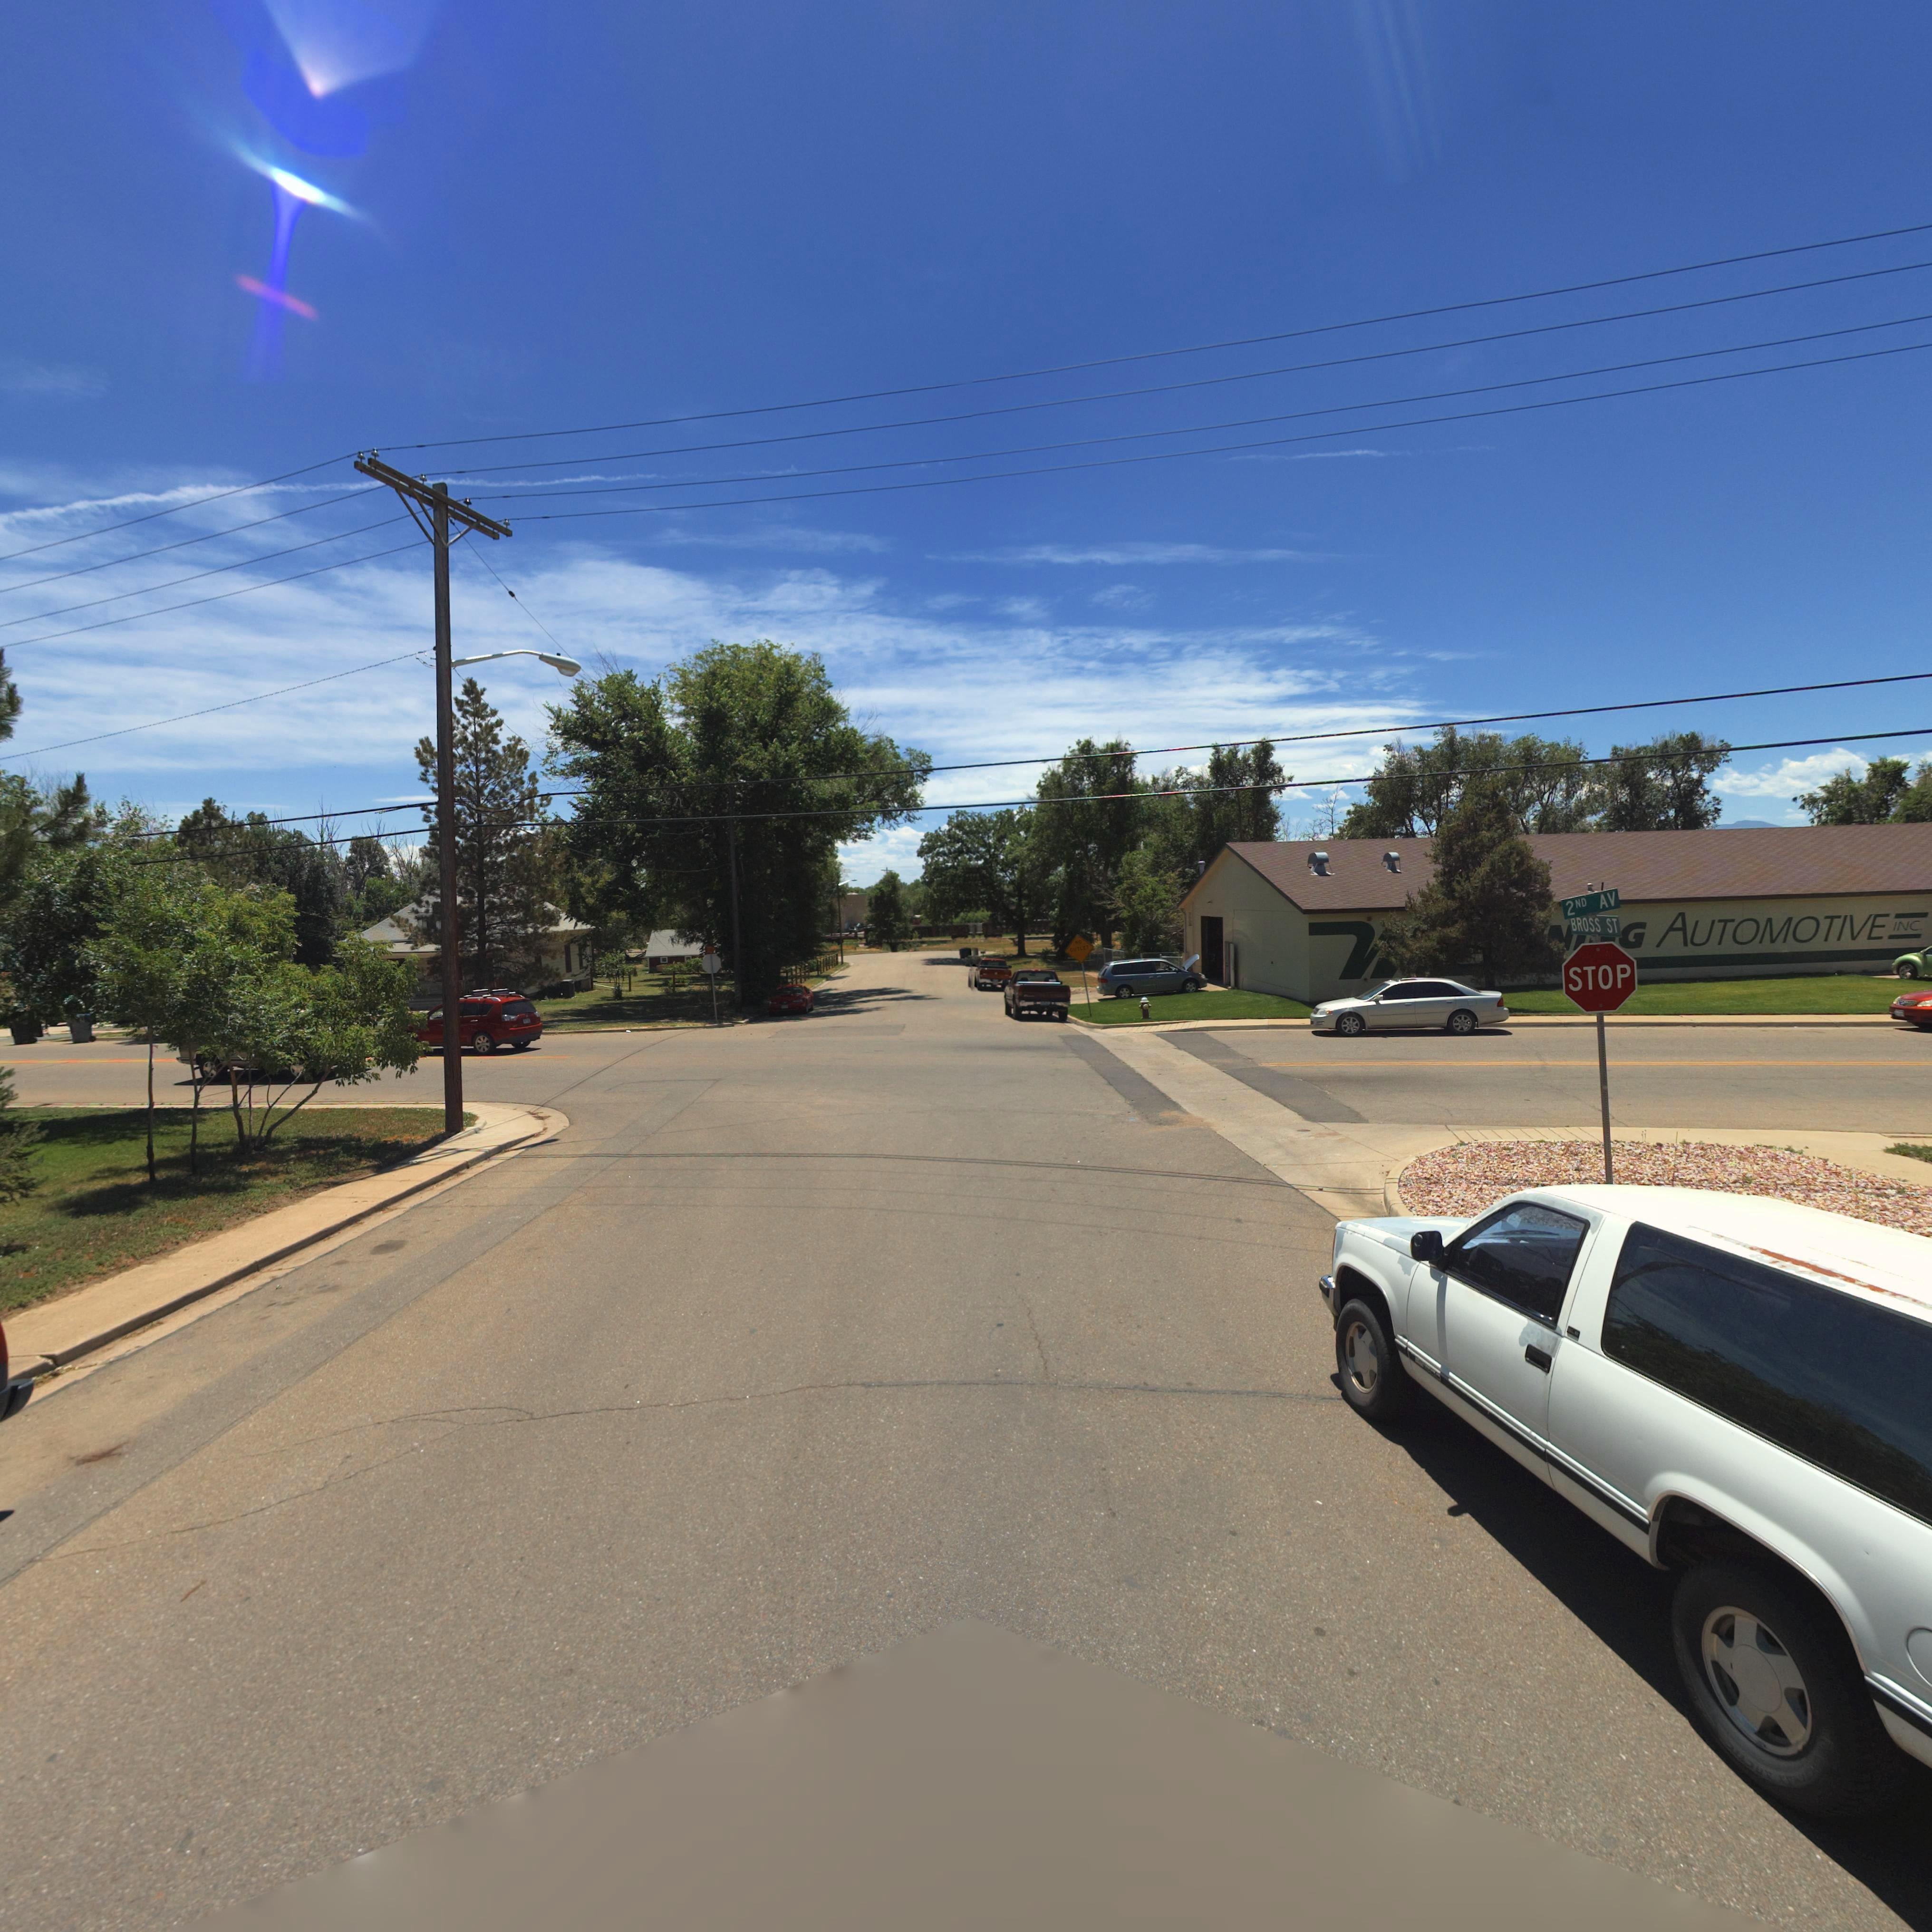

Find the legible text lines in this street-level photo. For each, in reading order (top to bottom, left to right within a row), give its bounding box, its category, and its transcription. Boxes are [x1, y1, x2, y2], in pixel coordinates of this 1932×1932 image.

[1565, 891, 1616, 917] StreetName: 2ND AV
[1570, 917, 1619, 933] StreetName: BROSS ST
[1617, 920, 1647, 950] BusinessName: G
[1655, 911, 1892, 948] BusinessName: AUTOMOTIVE
[1892, 920, 1922, 931] BusinessName: INC